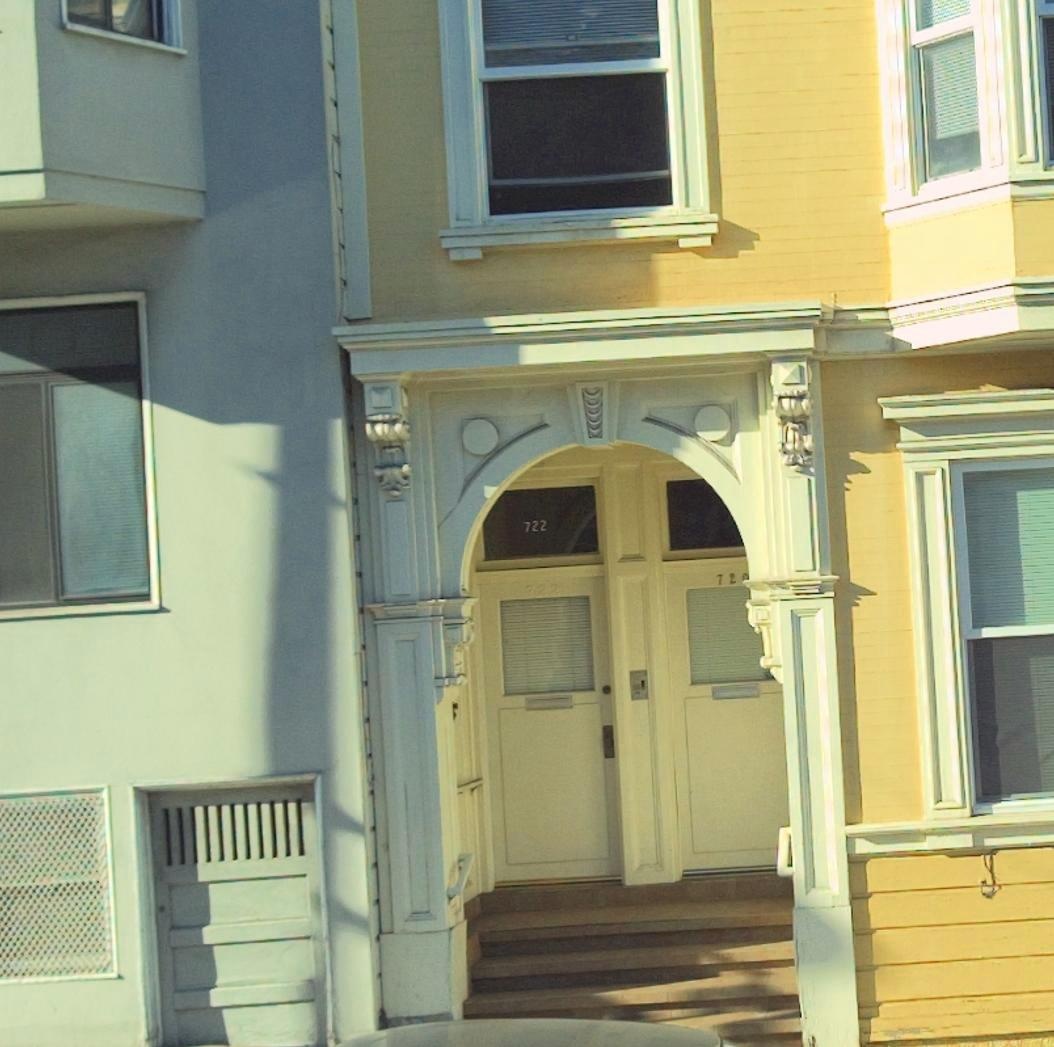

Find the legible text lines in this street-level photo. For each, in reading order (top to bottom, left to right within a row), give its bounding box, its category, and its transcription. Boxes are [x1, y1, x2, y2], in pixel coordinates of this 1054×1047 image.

[521, 519, 548, 534] StreetNumber: 722
[716, 572, 750, 587] StreetNumber: 72*
[523, 581, 561, 598] StreetNumber: 722